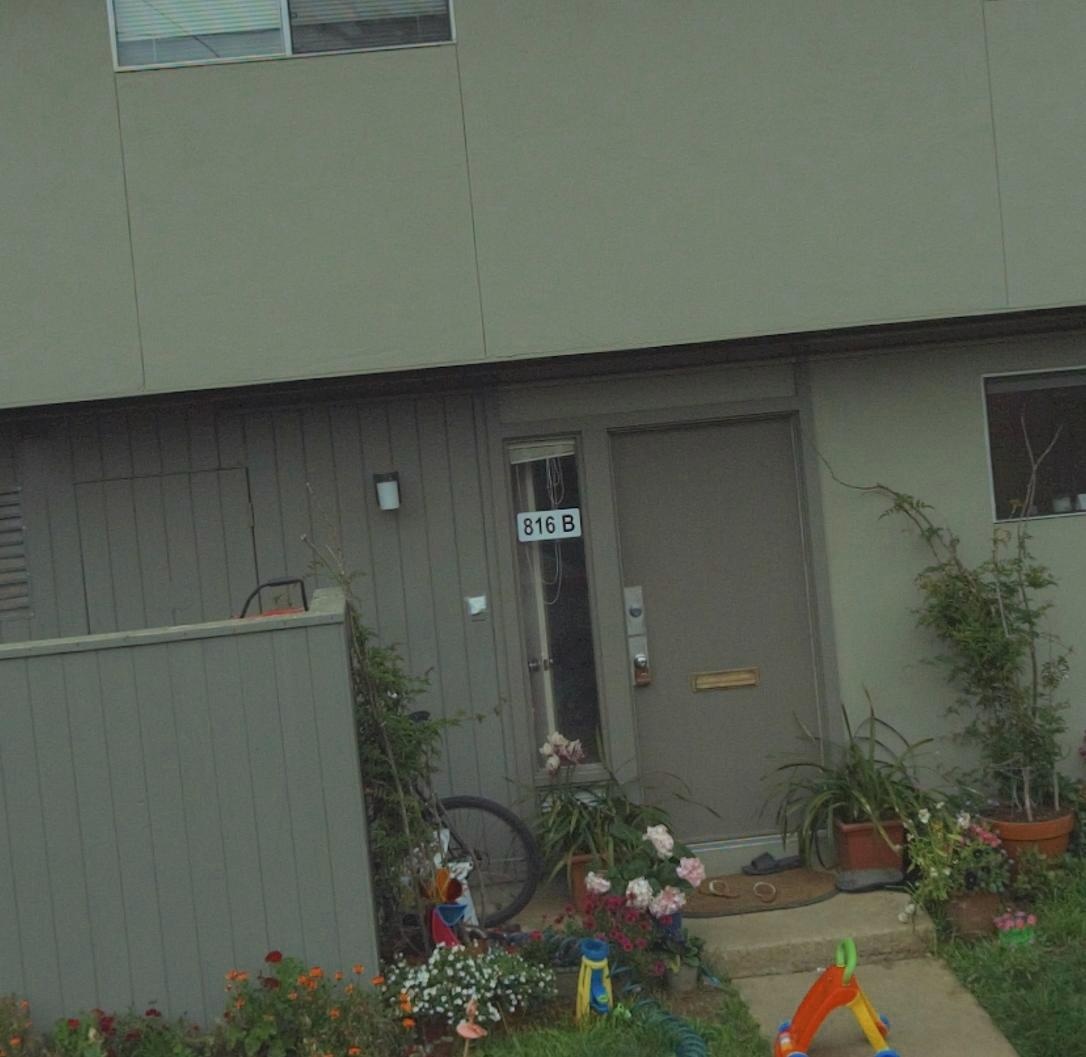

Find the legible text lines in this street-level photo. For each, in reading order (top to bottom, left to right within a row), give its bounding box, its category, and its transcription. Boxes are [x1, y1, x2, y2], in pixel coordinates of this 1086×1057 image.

[521, 513, 576, 538] StreetNumber: 816 B